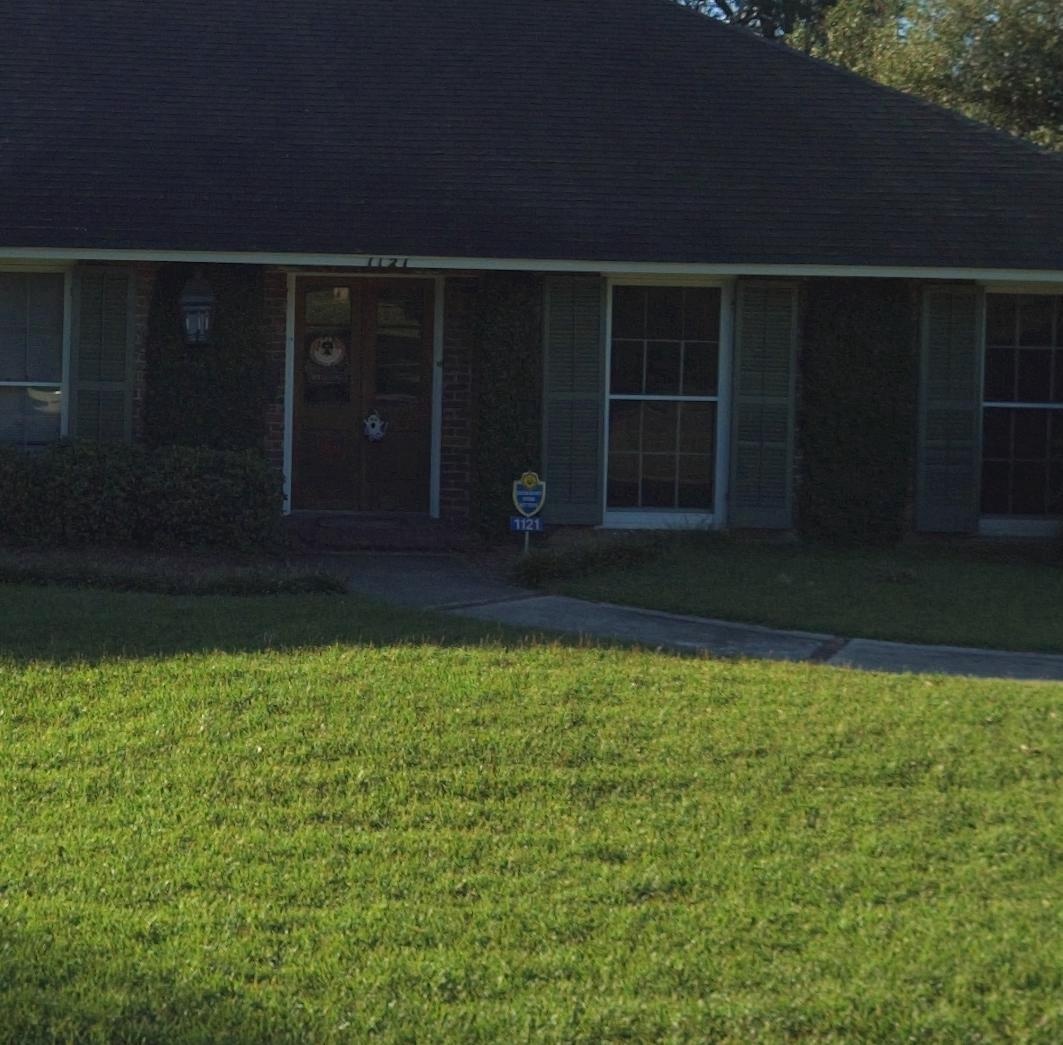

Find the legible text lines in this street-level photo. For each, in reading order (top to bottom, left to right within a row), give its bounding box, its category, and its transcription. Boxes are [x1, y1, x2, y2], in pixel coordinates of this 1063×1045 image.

[512, 516, 542, 532] StreetNumber: 1121